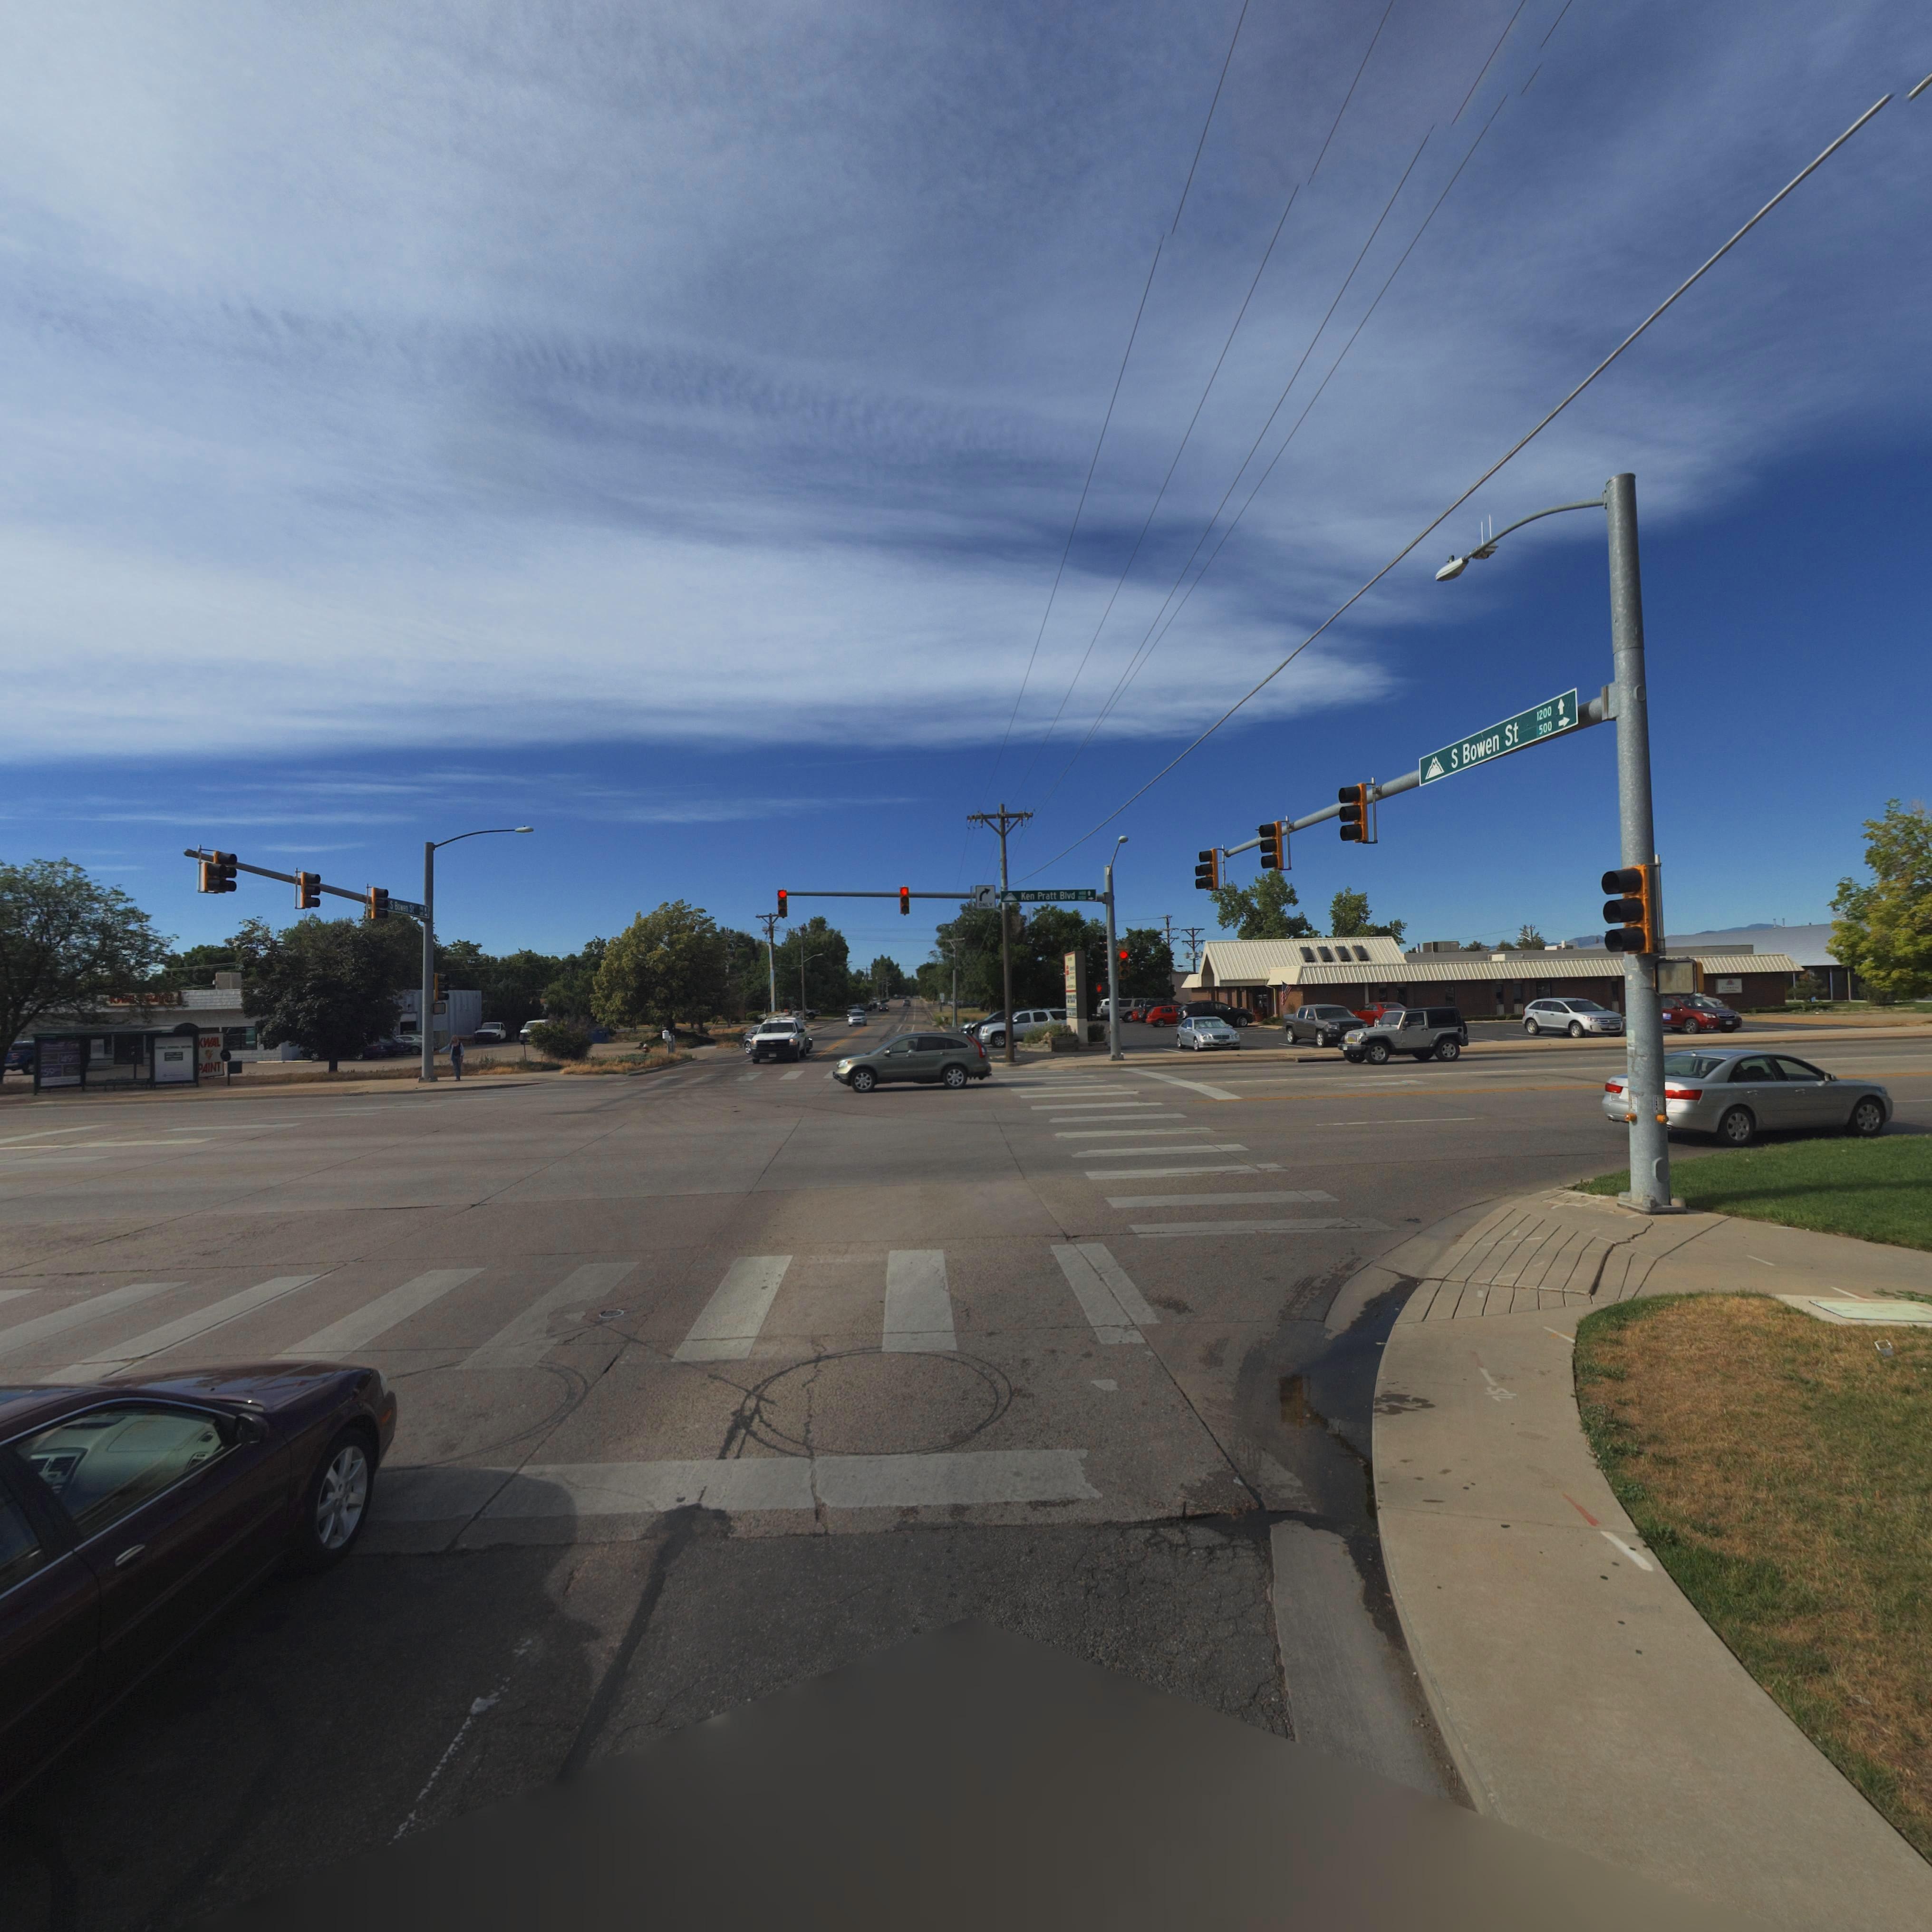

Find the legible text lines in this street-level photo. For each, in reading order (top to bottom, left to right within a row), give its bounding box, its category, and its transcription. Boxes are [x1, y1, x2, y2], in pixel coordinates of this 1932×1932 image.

[1536, 705, 1551, 721] StreetNumberRange: 1200
[1538, 716, 1570, 734] StreetNumberRange: 500->
[1451, 721, 1519, 769] StreetName: S Bowen St
[1021, 891, 1075, 900] StreetName: Ken Pratt Blvd
[1078, 890, 1086, 895] StreetNumberRange: **0
[1078, 896, 1094, 900] StreetNumberRange: 1200->
[389, 900, 415, 914] StreetName: S Bo*en St
[198, 1036, 221, 1048] BusinessName: *WAL
[198, 1062, 222, 1074] BusinessName: *AINT